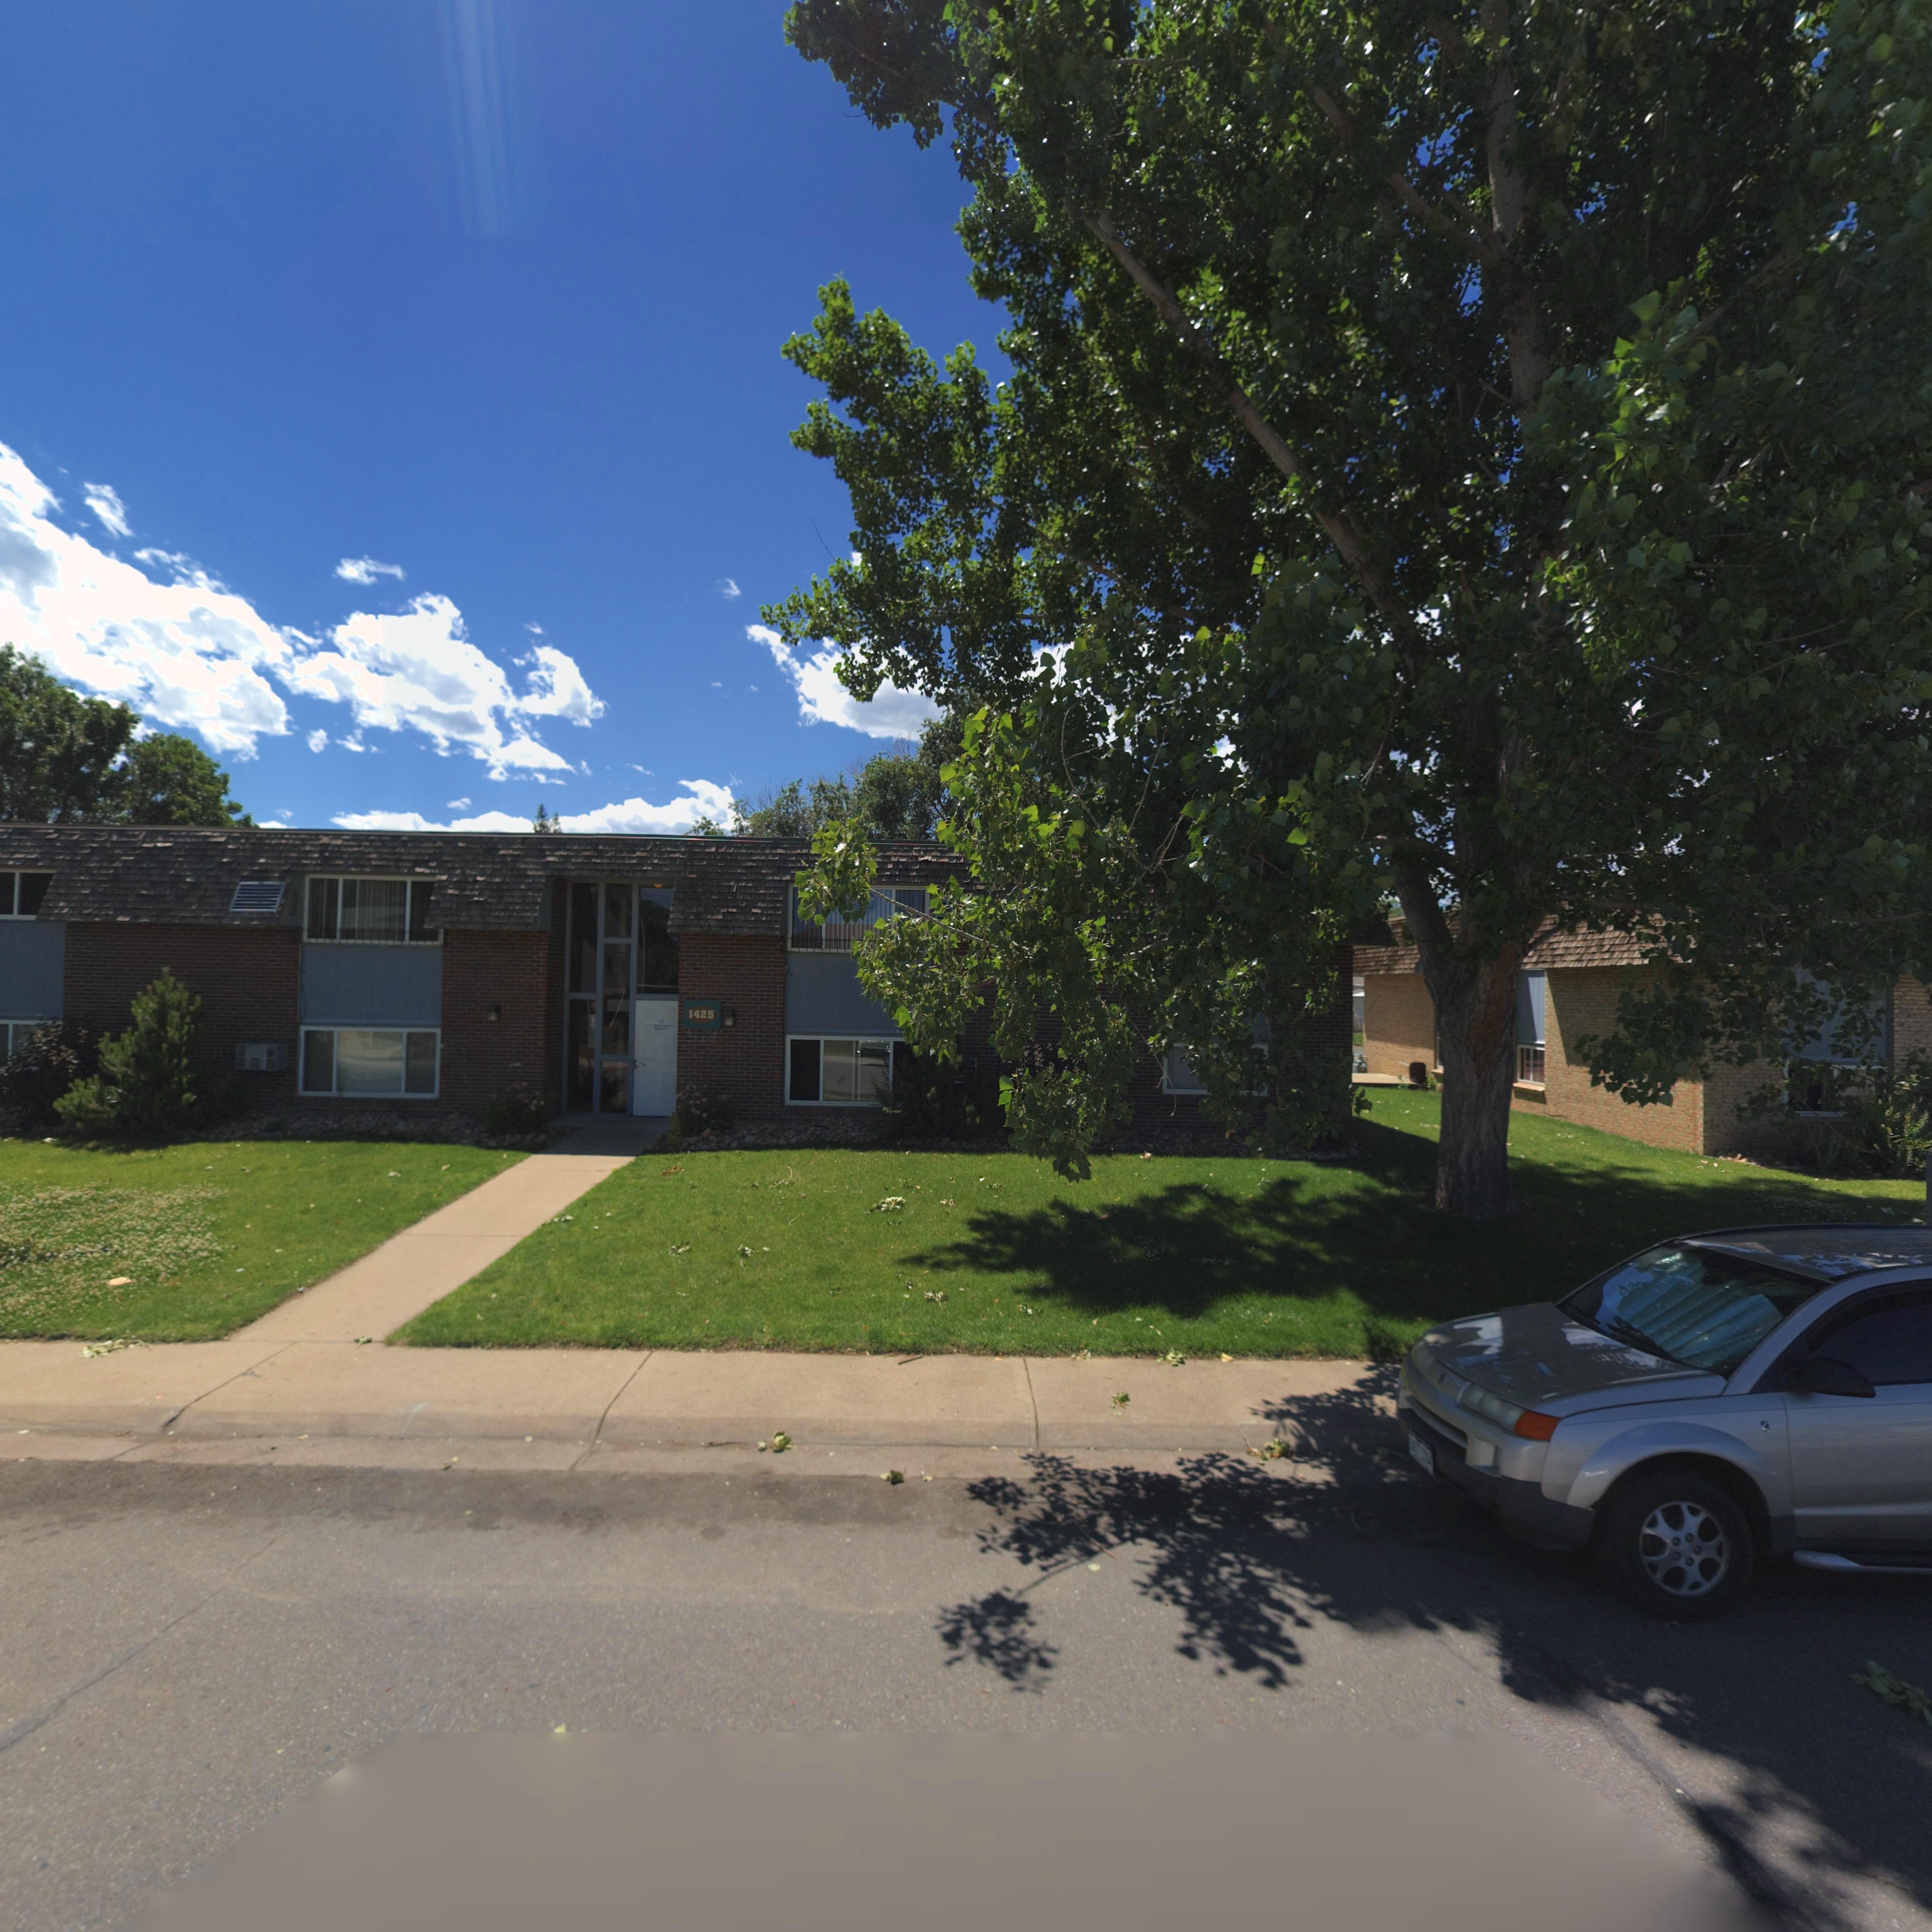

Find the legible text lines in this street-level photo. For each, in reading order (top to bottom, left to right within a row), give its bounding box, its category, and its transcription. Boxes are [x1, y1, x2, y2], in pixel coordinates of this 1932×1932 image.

[688, 1009, 714, 1019] StreetNumber: 1425